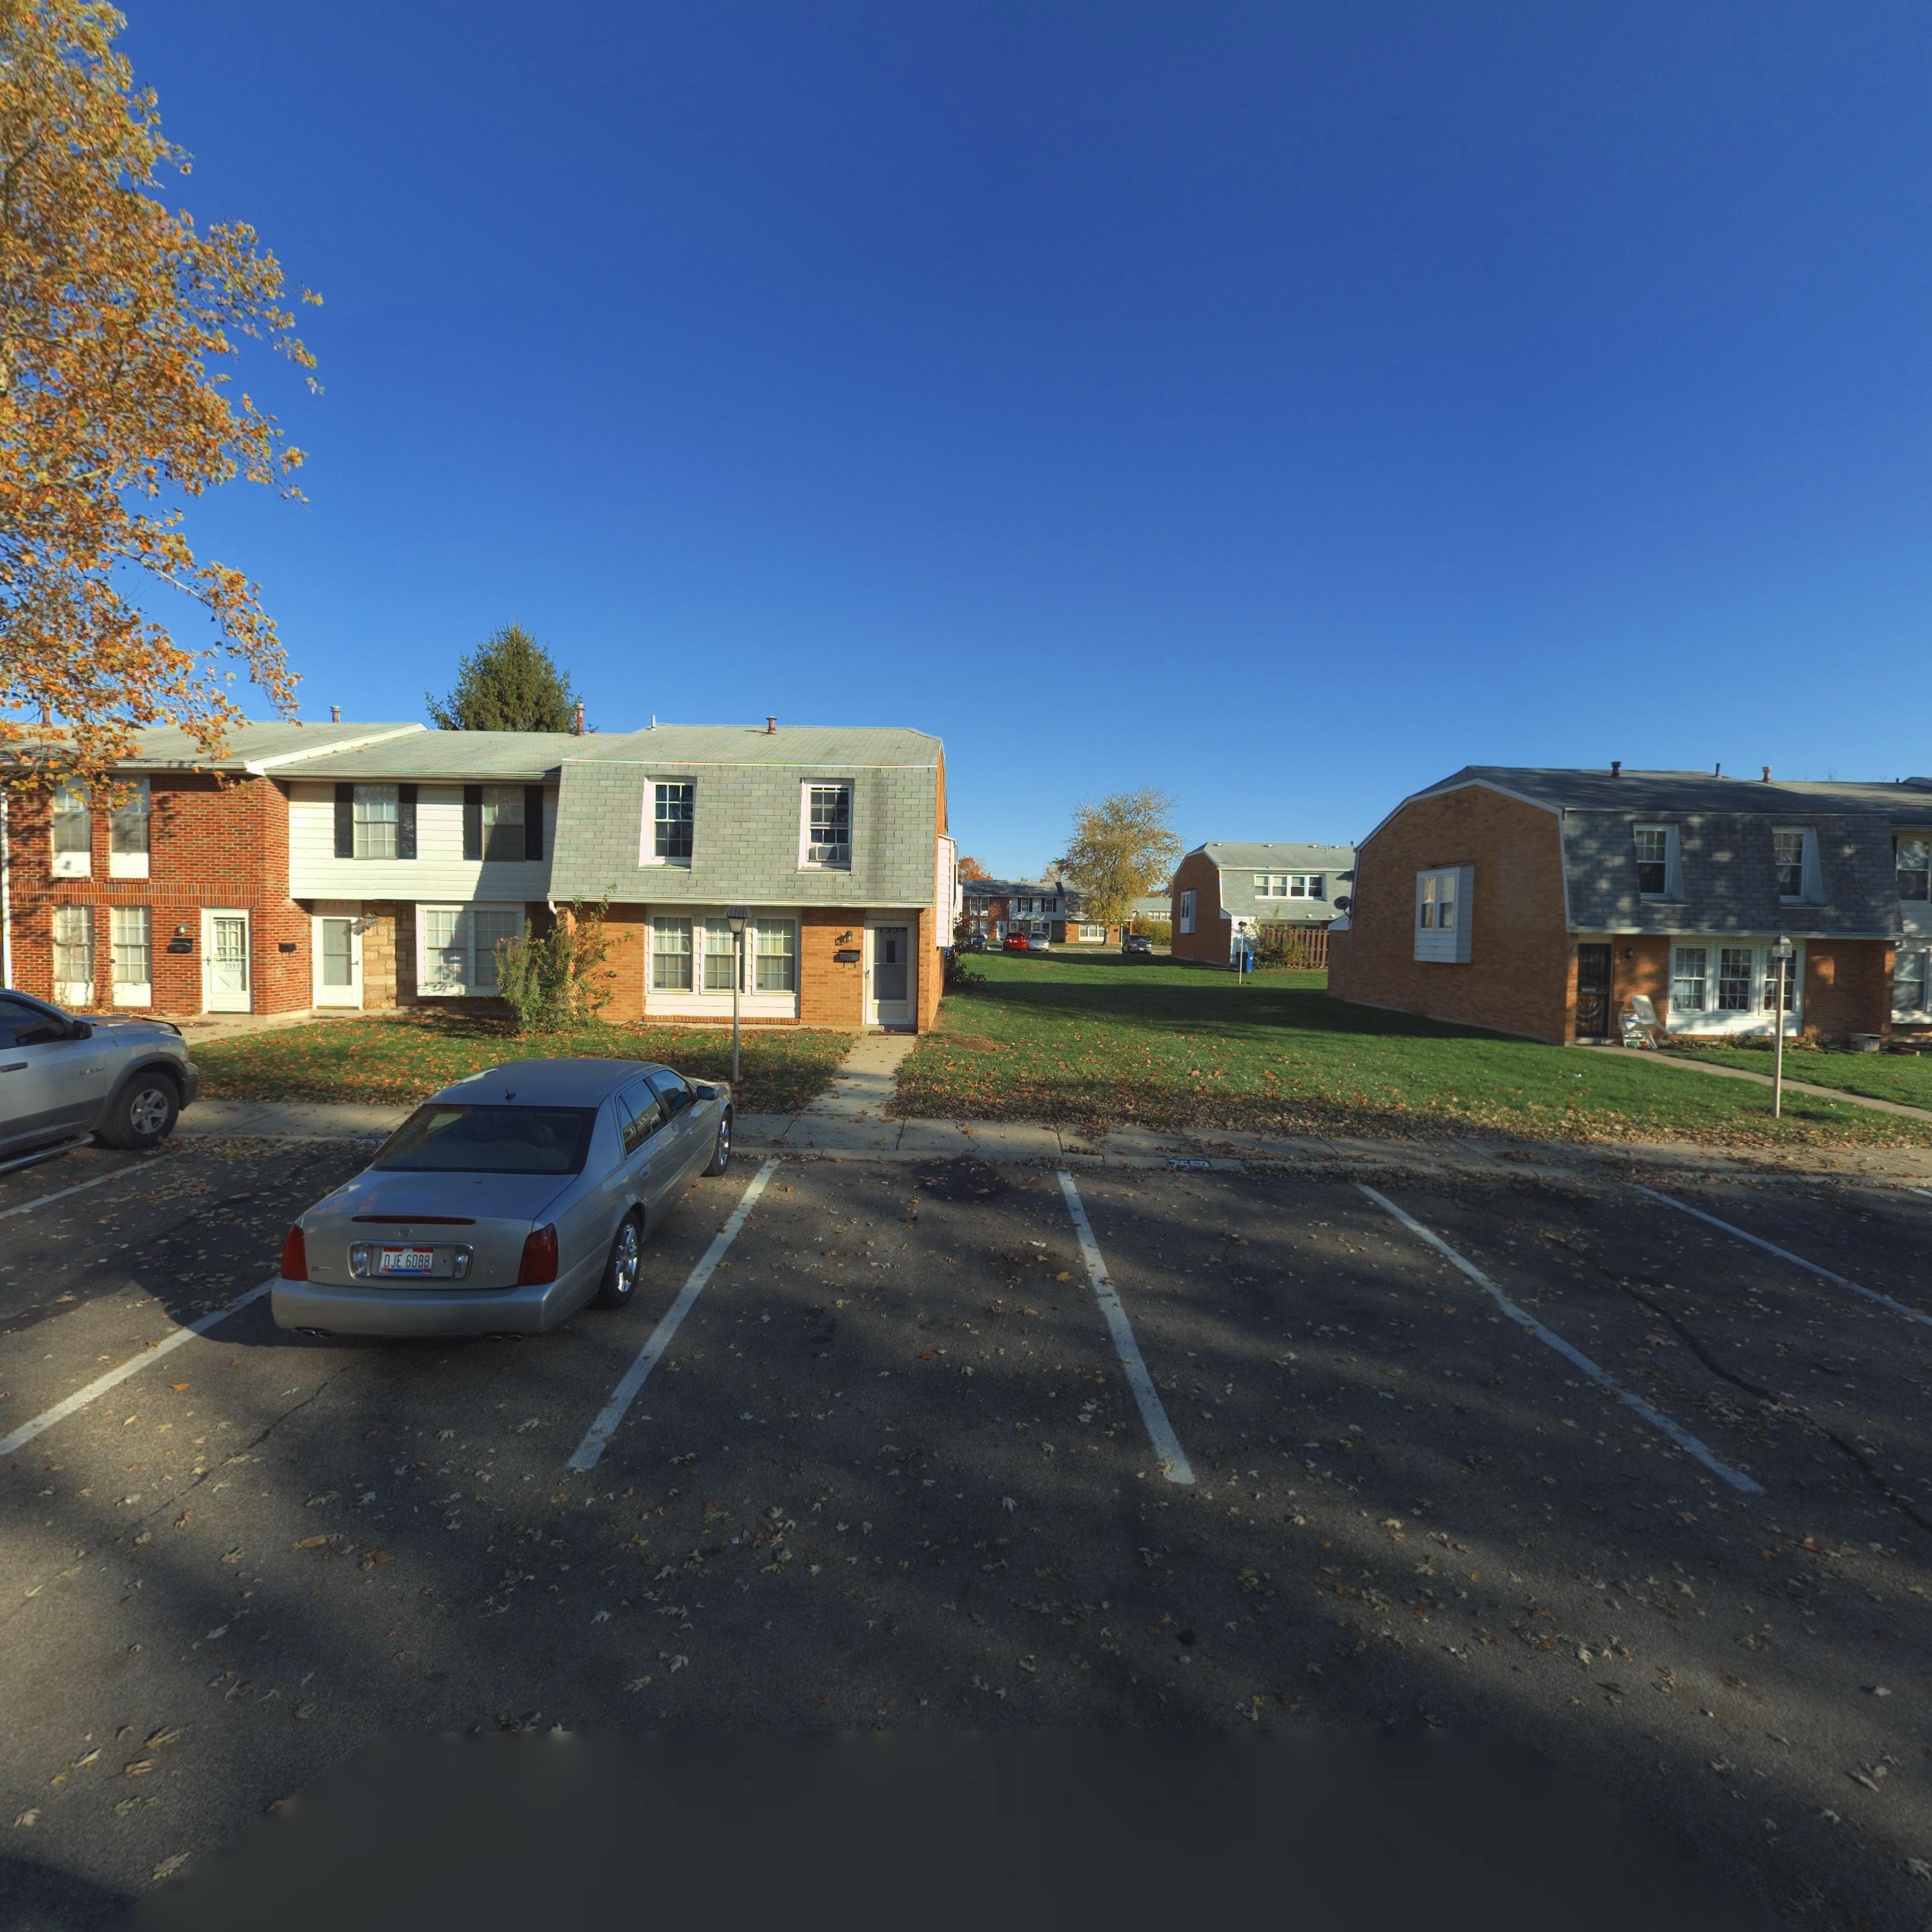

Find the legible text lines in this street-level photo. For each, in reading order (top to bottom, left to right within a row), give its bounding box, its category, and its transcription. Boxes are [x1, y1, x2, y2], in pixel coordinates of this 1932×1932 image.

[324, 901, 353, 908] StreetNumber: 7533
[223, 963, 241, 970] StreetNumber: 7555
[1168, 1159, 1212, 1170] StreetNumber: 75**